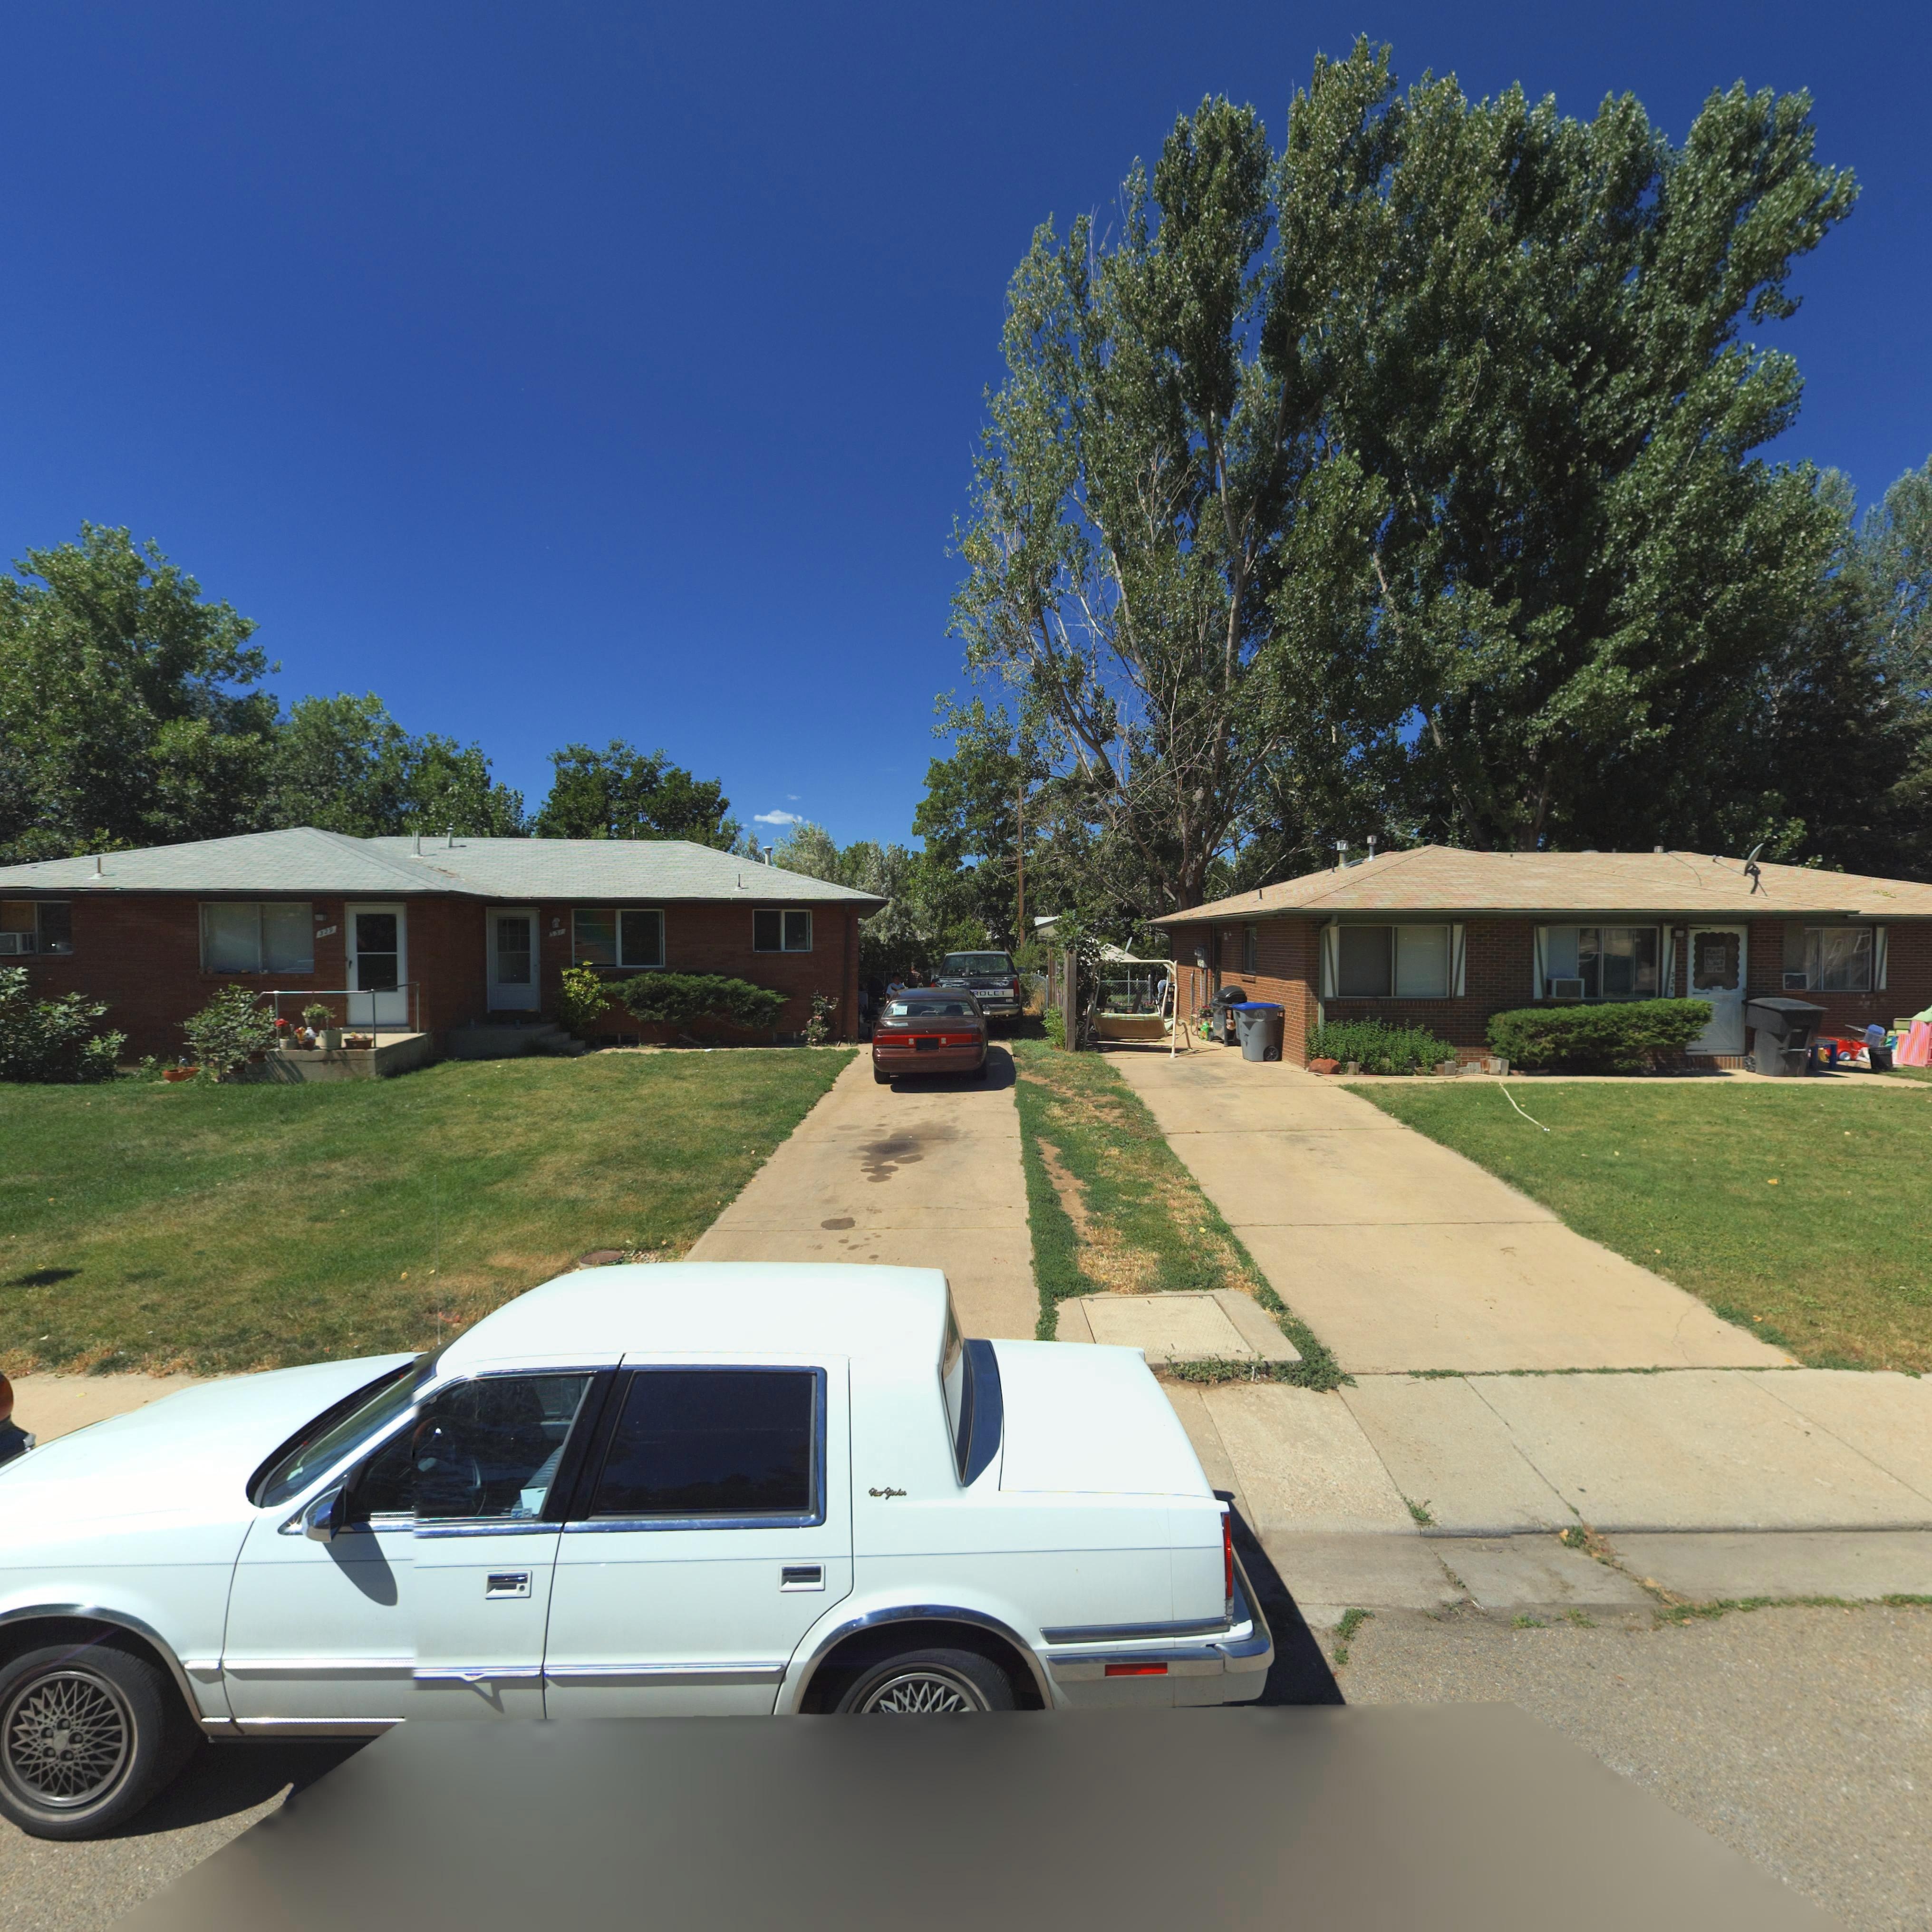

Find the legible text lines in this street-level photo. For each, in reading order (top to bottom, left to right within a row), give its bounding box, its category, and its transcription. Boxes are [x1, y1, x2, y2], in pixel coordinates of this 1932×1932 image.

[318, 926, 334, 937] StreetNumber: 329
[550, 928, 564, 937] StreetNumber: 531
[1668, 970, 1675, 993] StreetNumber: 335